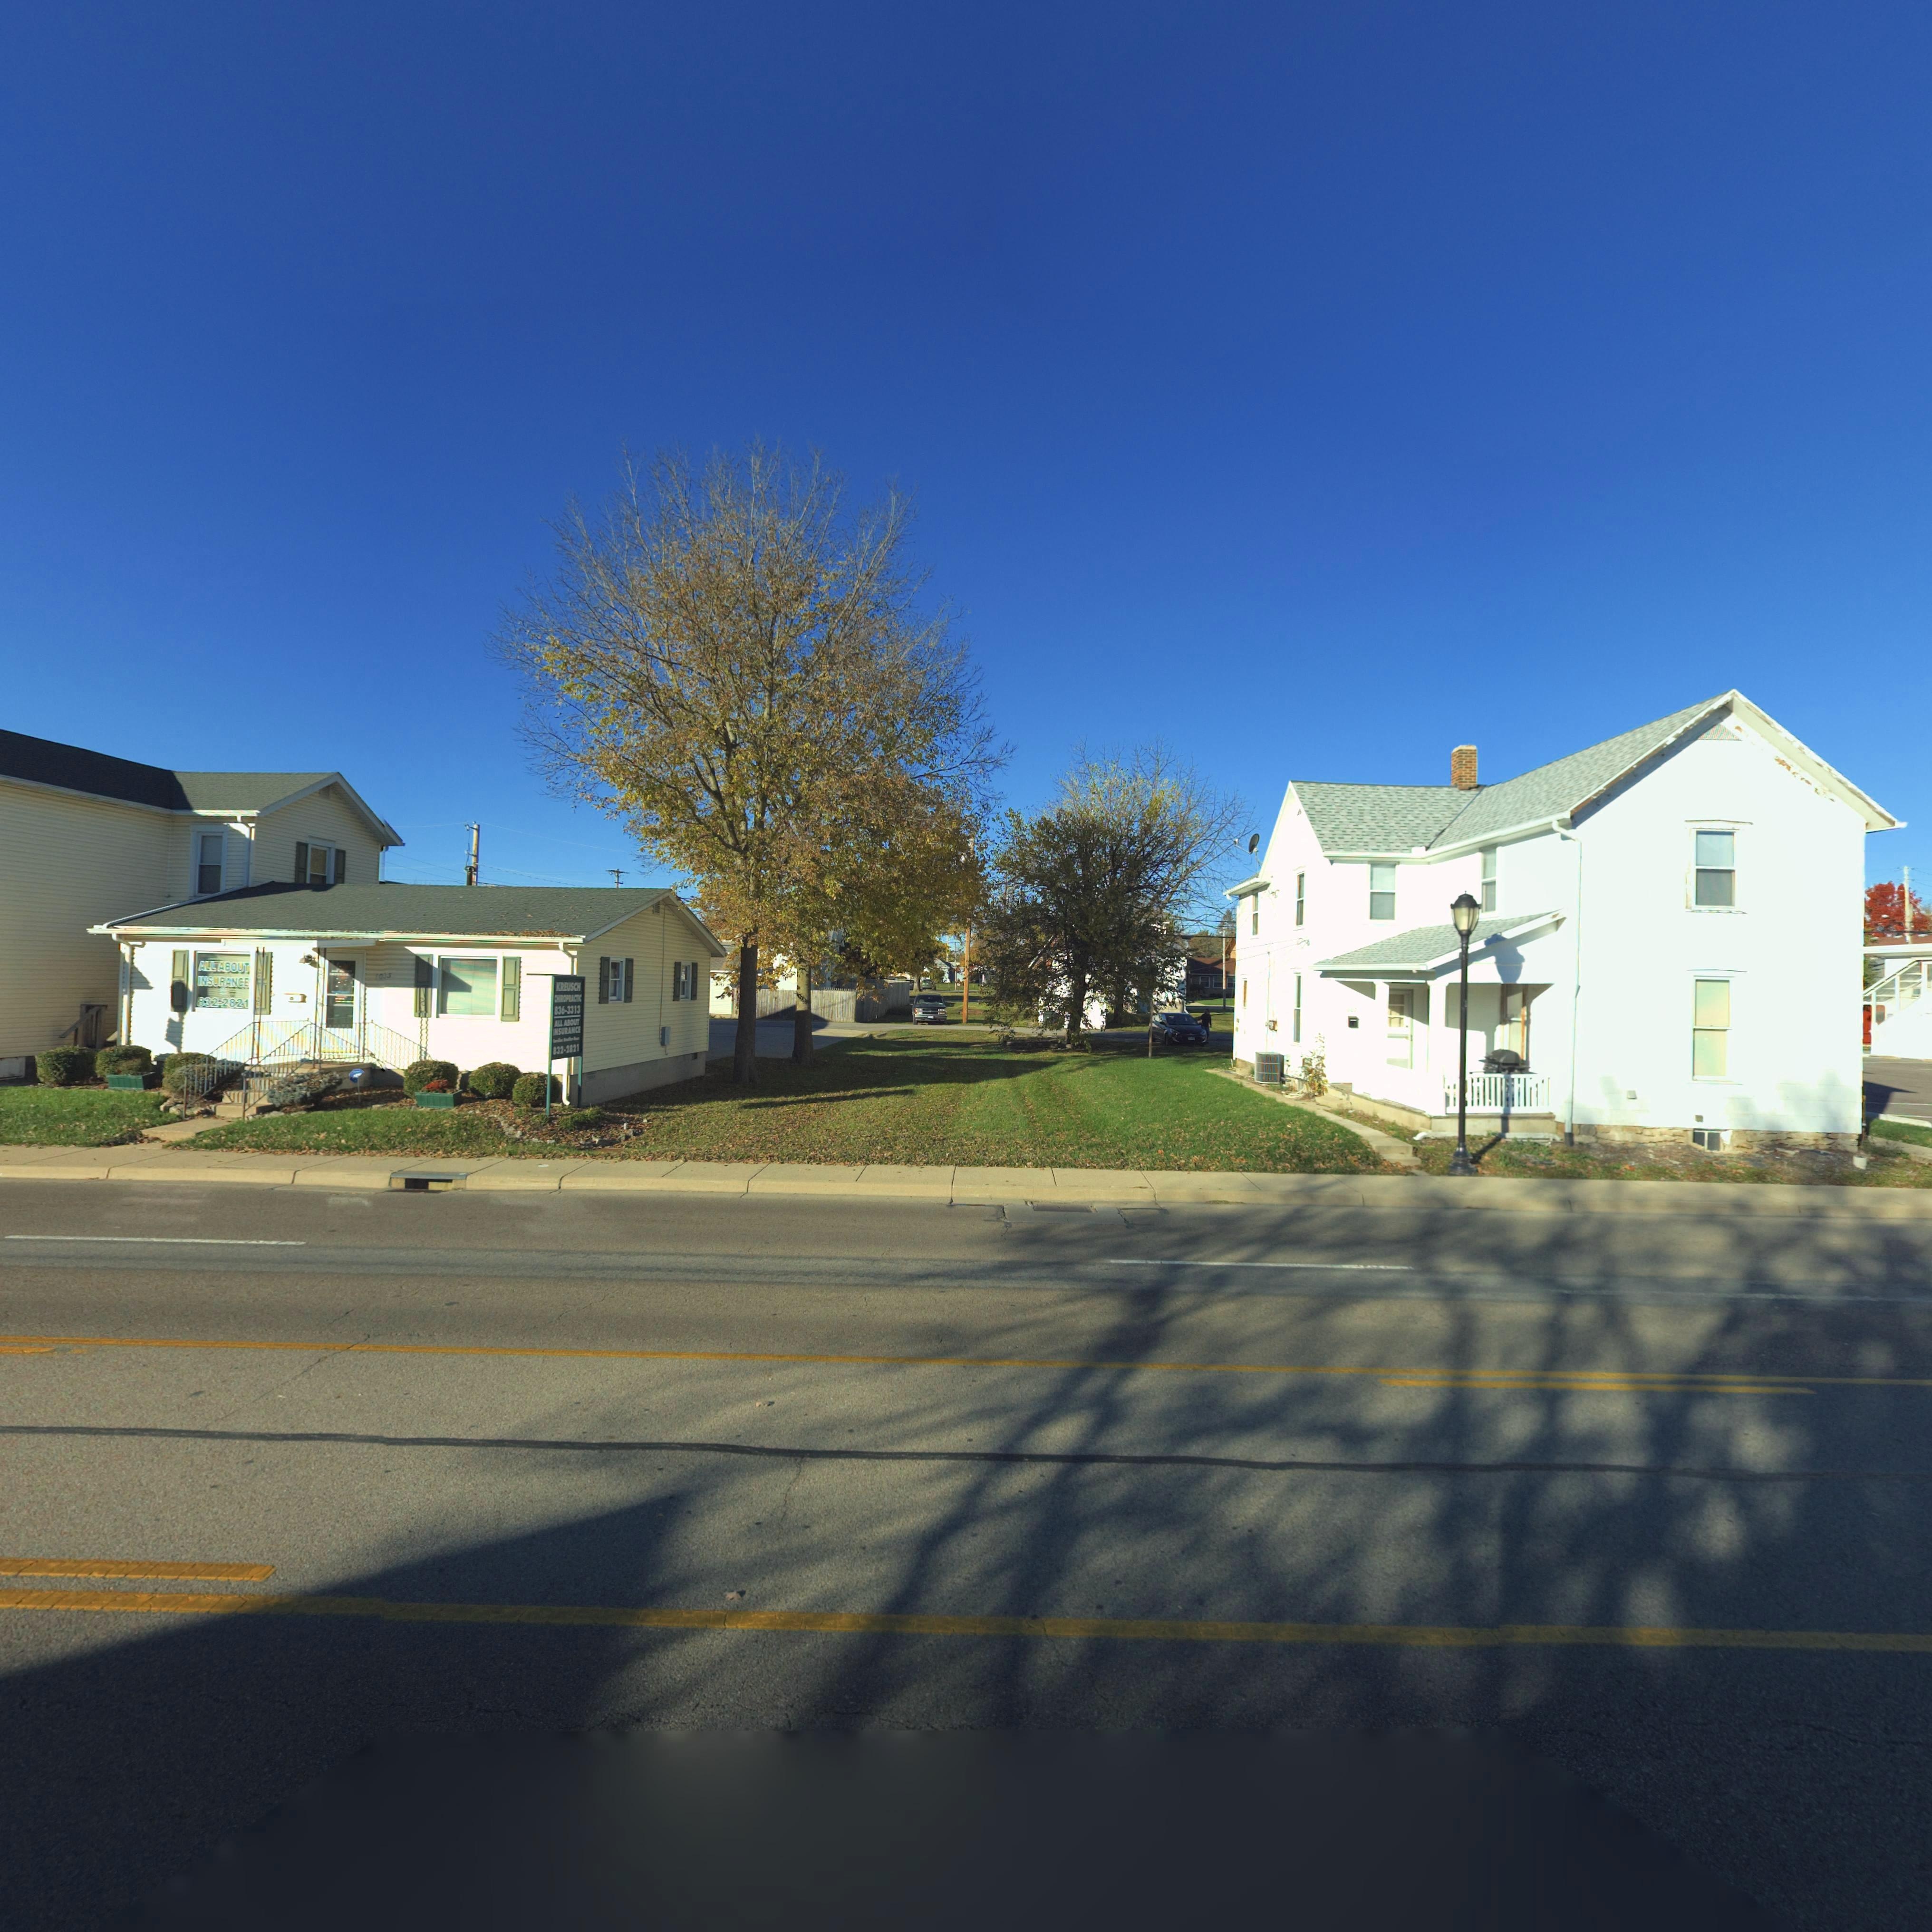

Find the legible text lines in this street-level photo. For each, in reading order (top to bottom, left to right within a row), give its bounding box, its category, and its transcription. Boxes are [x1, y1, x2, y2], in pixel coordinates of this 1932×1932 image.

[196, 959, 249, 973] BusinessName: ALL ABOUT
[196, 975, 250, 988] BusinessName: INSURANCE
[374, 972, 393, 981] StreetNumber: 10*3
[555, 982, 581, 992] BusinessName: KREUSCH
[554, 994, 582, 1004] BusinessName: C***PUACTIC
[1346, 1007, 1358, 1013] StreetNumber: *0*
[553, 1018, 580, 1027] BusinessName: ALL ABOUT
[552, 1026, 580, 1035] BusinessName: INSURANCE